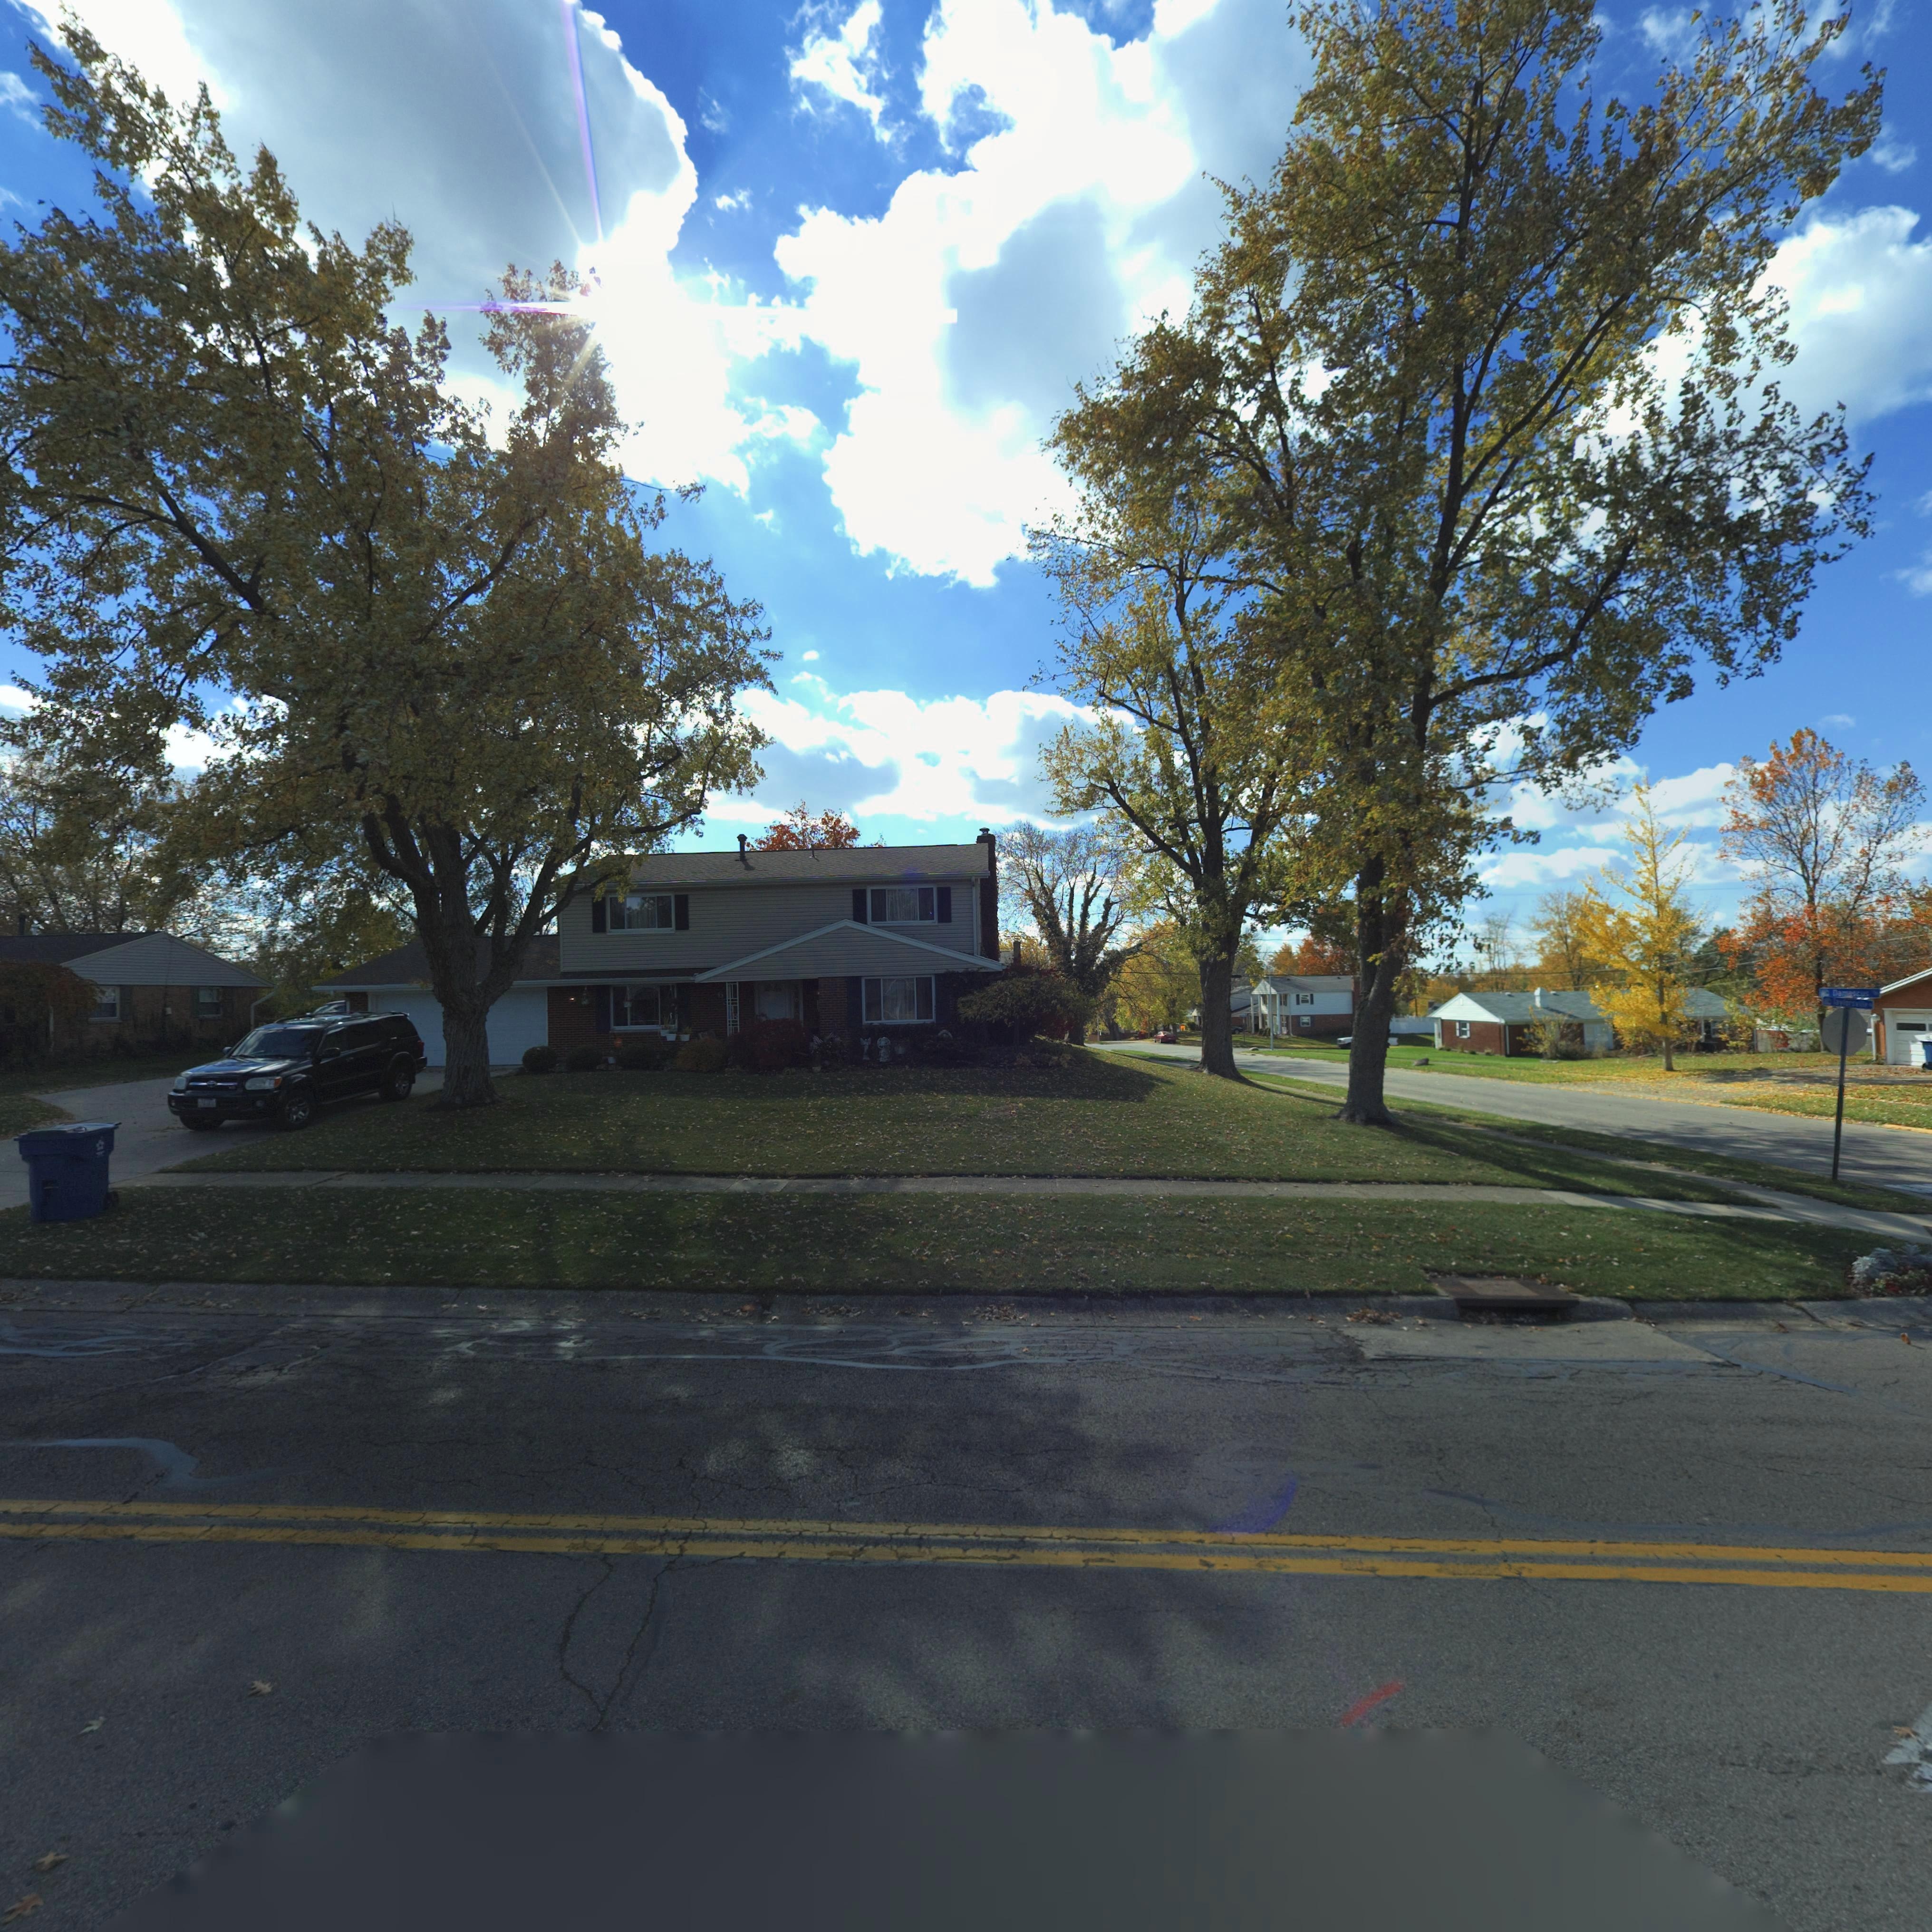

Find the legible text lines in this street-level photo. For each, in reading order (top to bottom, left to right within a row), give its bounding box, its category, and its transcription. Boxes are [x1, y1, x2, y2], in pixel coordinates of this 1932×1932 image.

[717, 990, 724, 999] StreetNumber: 6
[1832, 989, 1870, 997] StreetName: Da*ascus